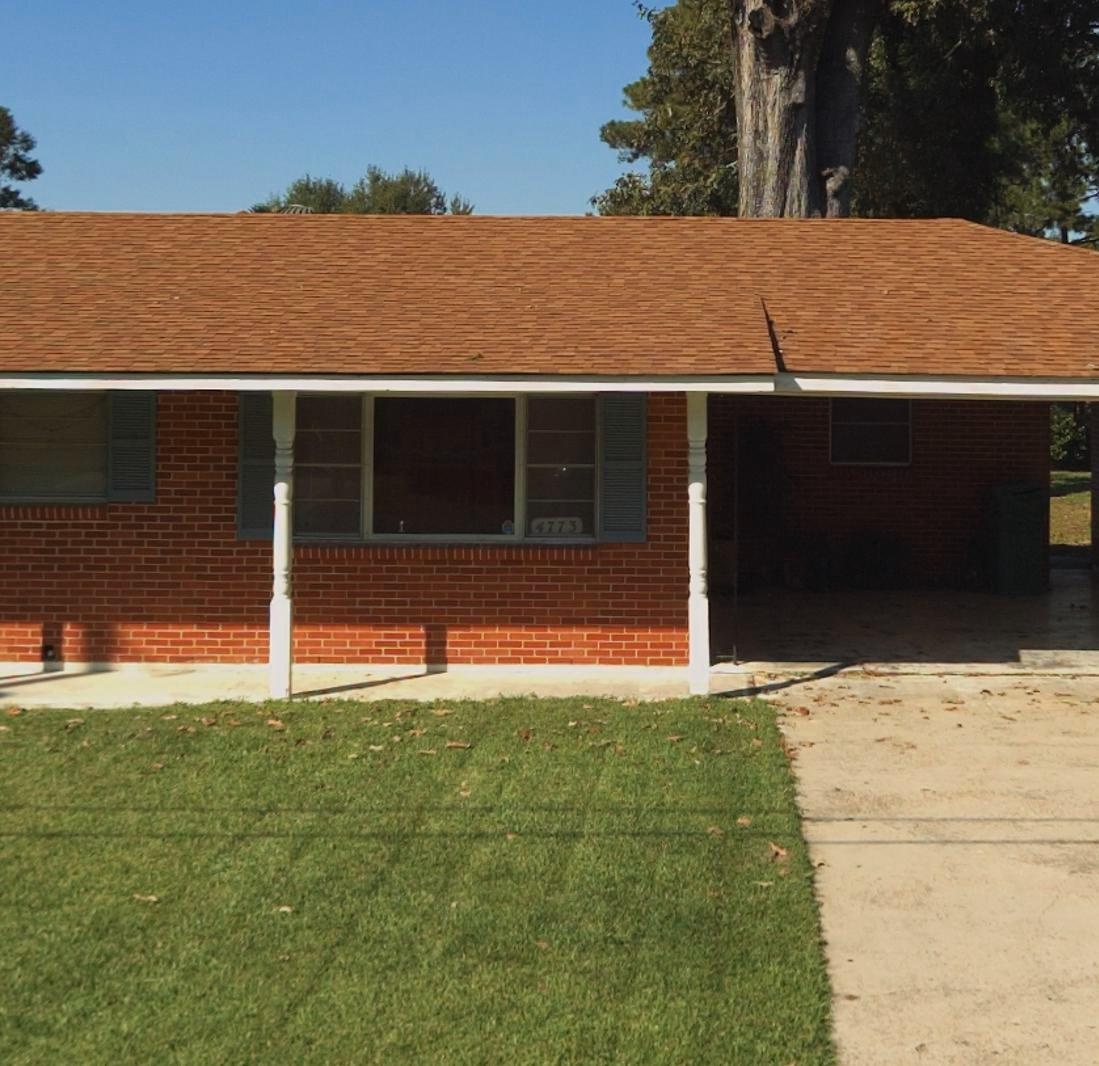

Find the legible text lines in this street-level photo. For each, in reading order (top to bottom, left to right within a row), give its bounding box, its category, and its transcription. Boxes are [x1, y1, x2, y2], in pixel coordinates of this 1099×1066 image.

[535, 519, 578, 534] StreetNumber: 4773